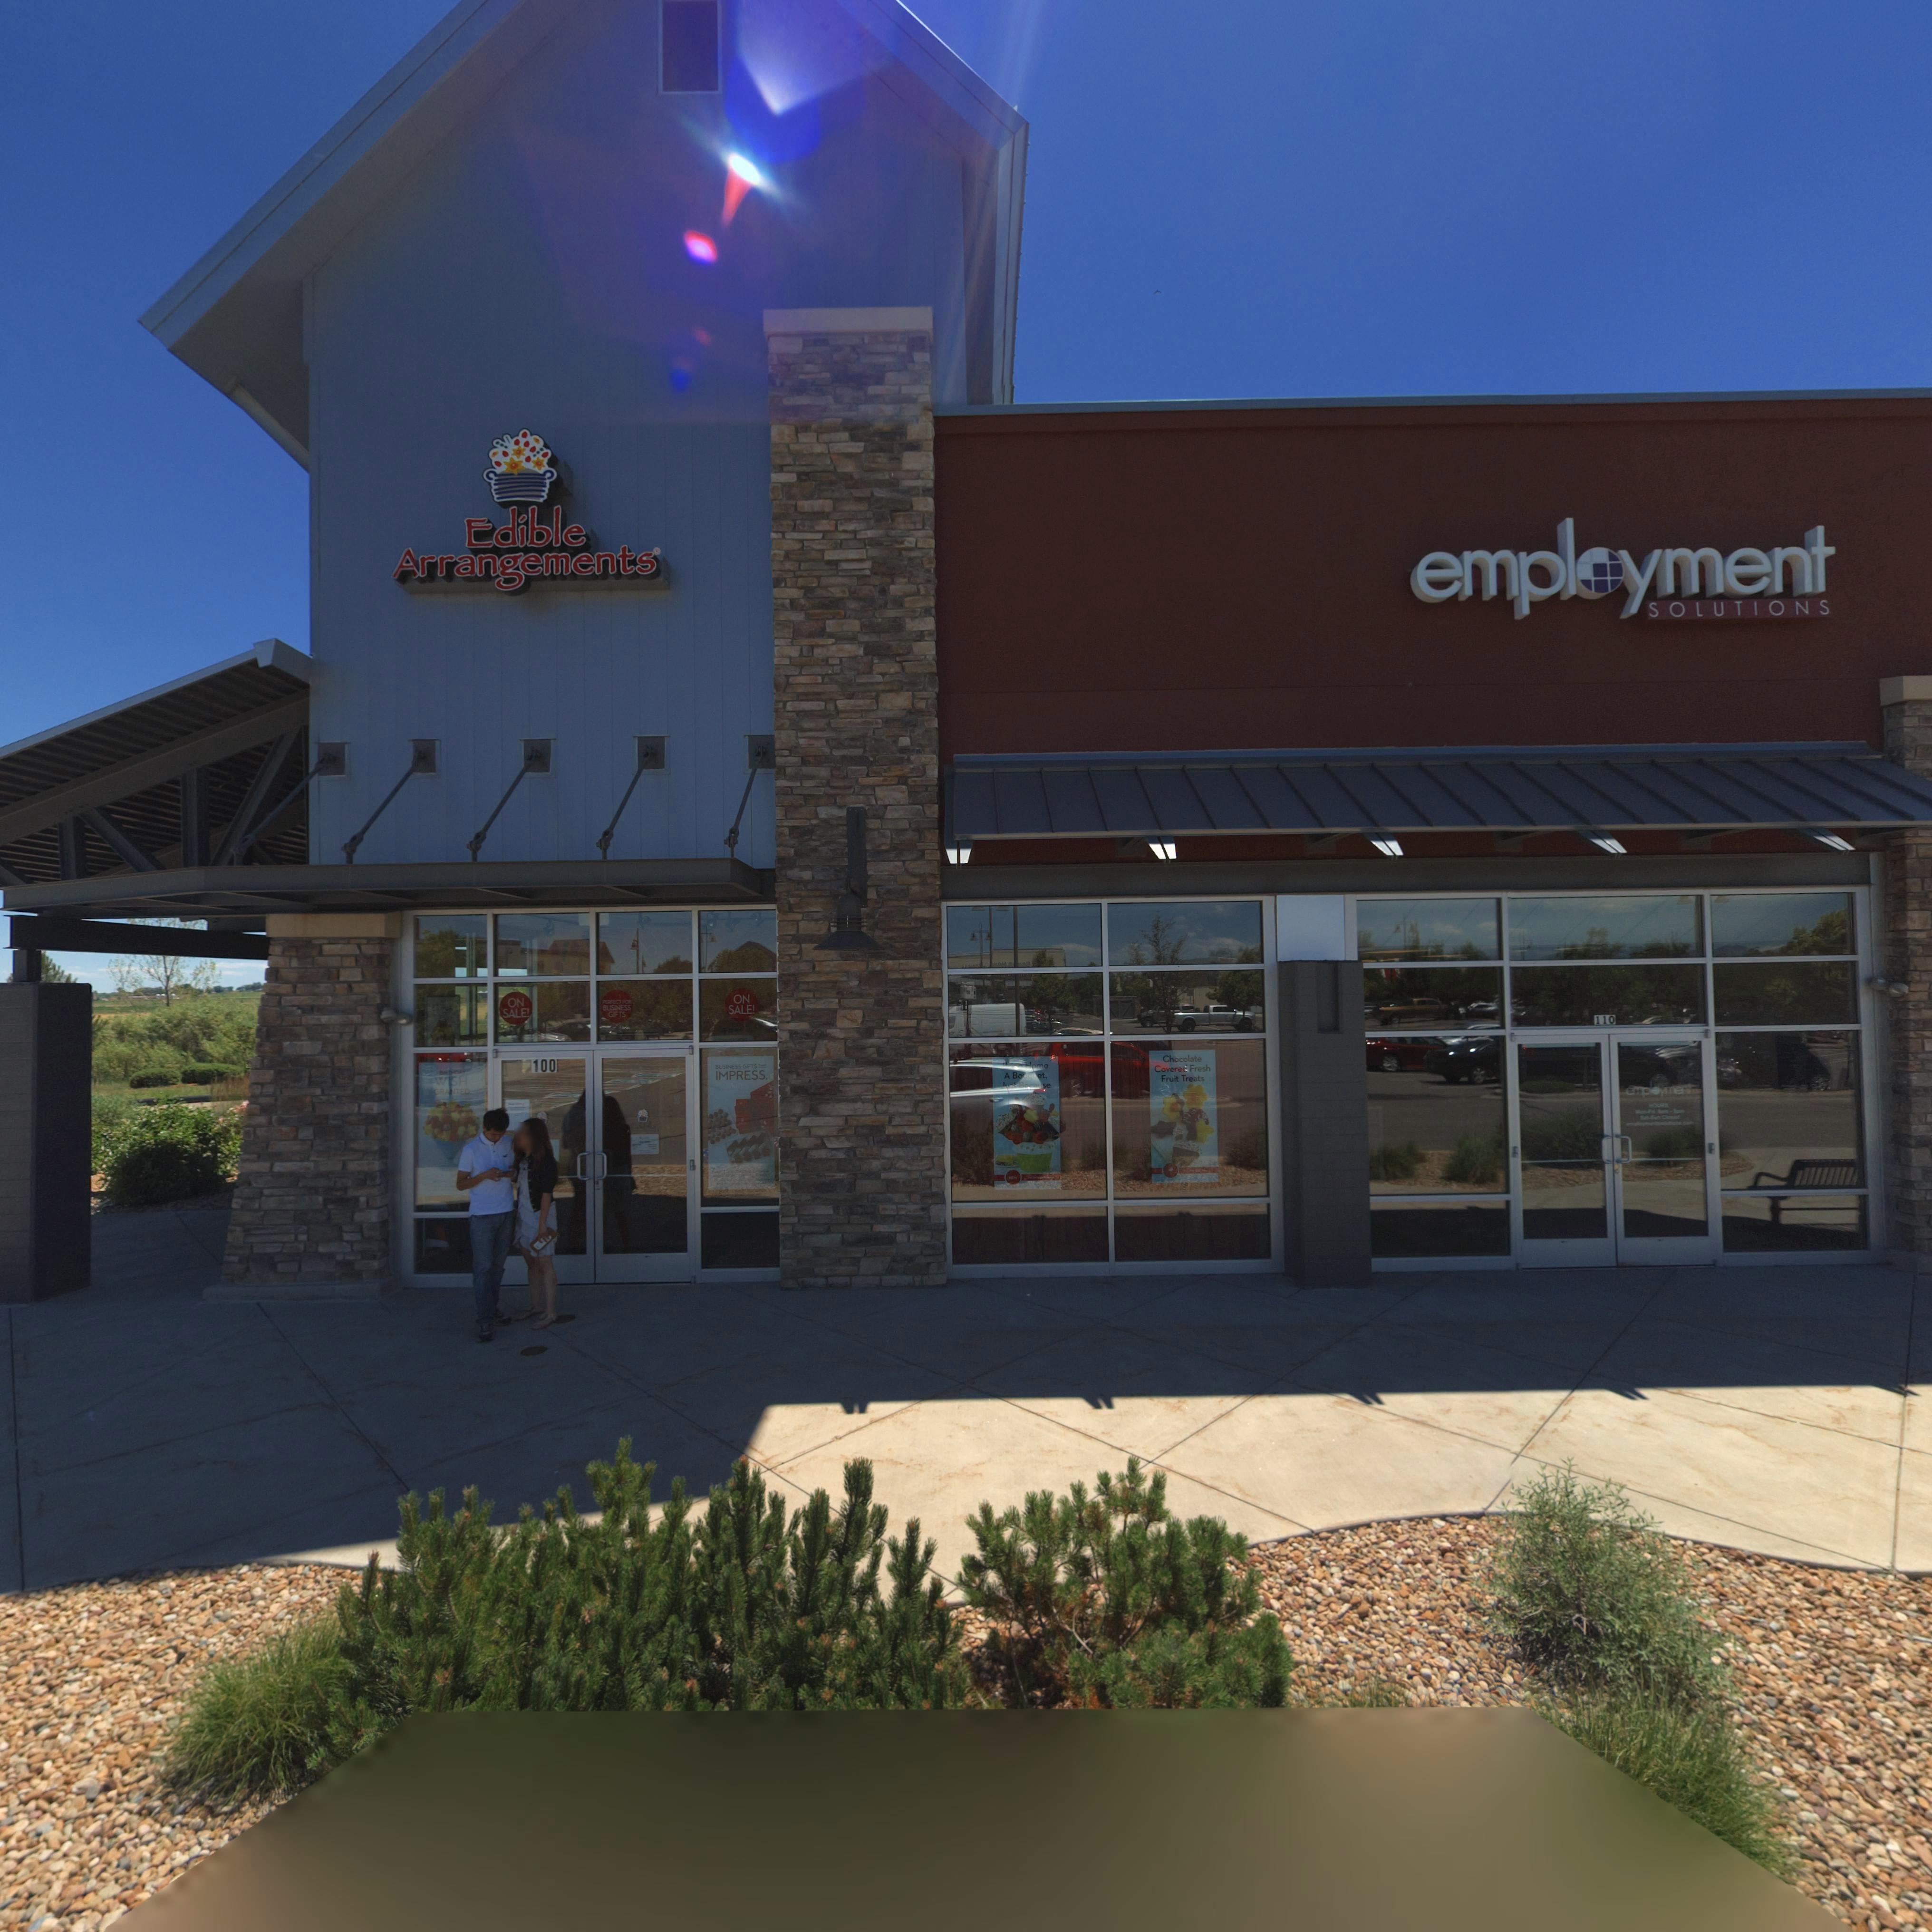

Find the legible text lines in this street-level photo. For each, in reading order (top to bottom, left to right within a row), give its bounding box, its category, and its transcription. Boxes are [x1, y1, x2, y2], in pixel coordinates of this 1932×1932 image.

[463, 504, 587, 549] BusinessName: Edible
[390, 544, 657, 591] BusinessName: Arrangements
[1409, 516, 1836, 620] BusinessName: employment
[1647, 599, 1830, 618] BusinessName: SOLUTIONS
[1595, 1015, 1615, 1024] SecondaryUnitDesignator: 110
[533, 1059, 556, 1072] SecondaryUnitDesignator: 100
[1625, 1083, 1694, 1098] BusinessName: employment